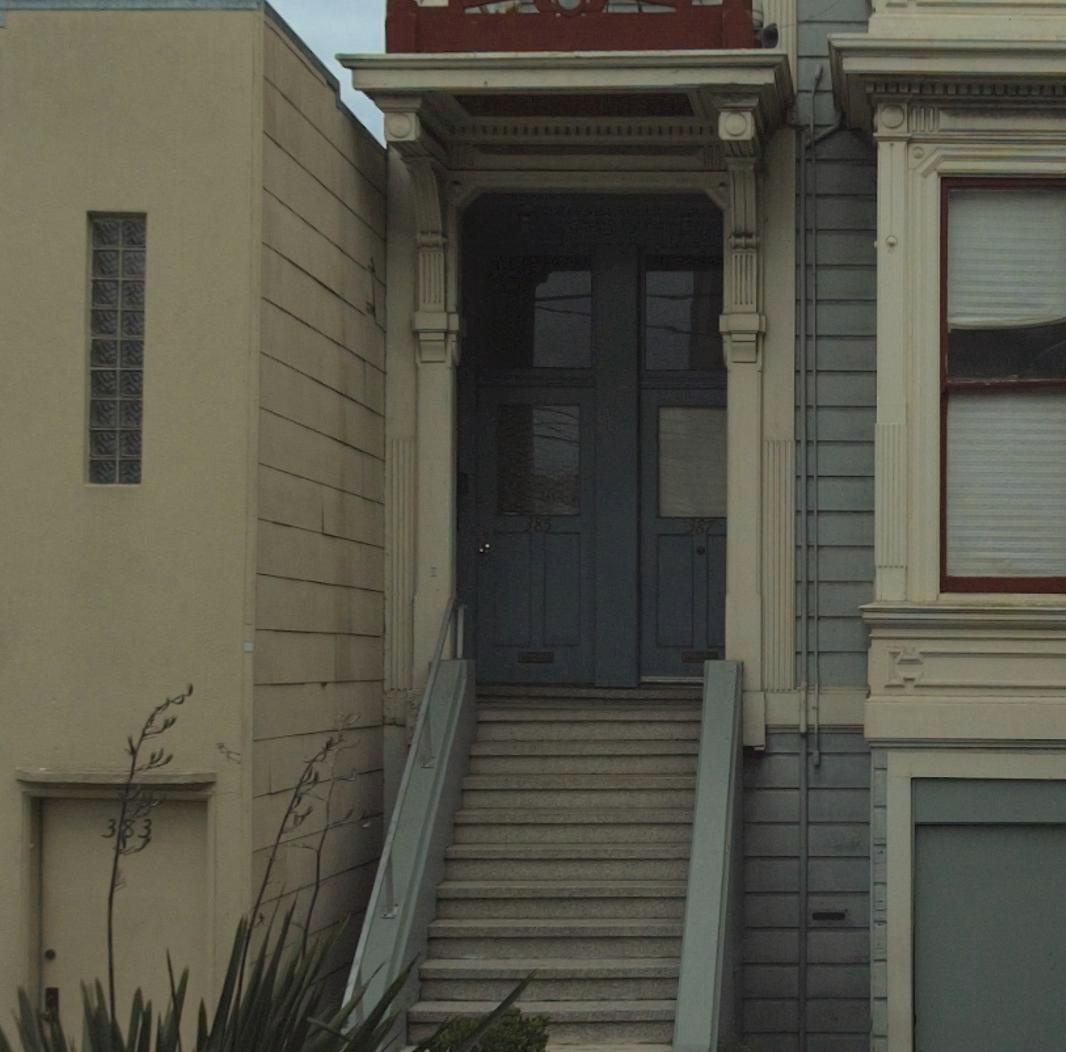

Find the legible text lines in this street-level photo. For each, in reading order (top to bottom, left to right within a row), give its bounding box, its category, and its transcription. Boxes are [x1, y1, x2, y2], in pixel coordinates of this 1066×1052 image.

[522, 515, 553, 533] StreetNumber: 385
[685, 517, 715, 534] StreetNumber: 387
[100, 818, 152, 838] StreetNumber: 383